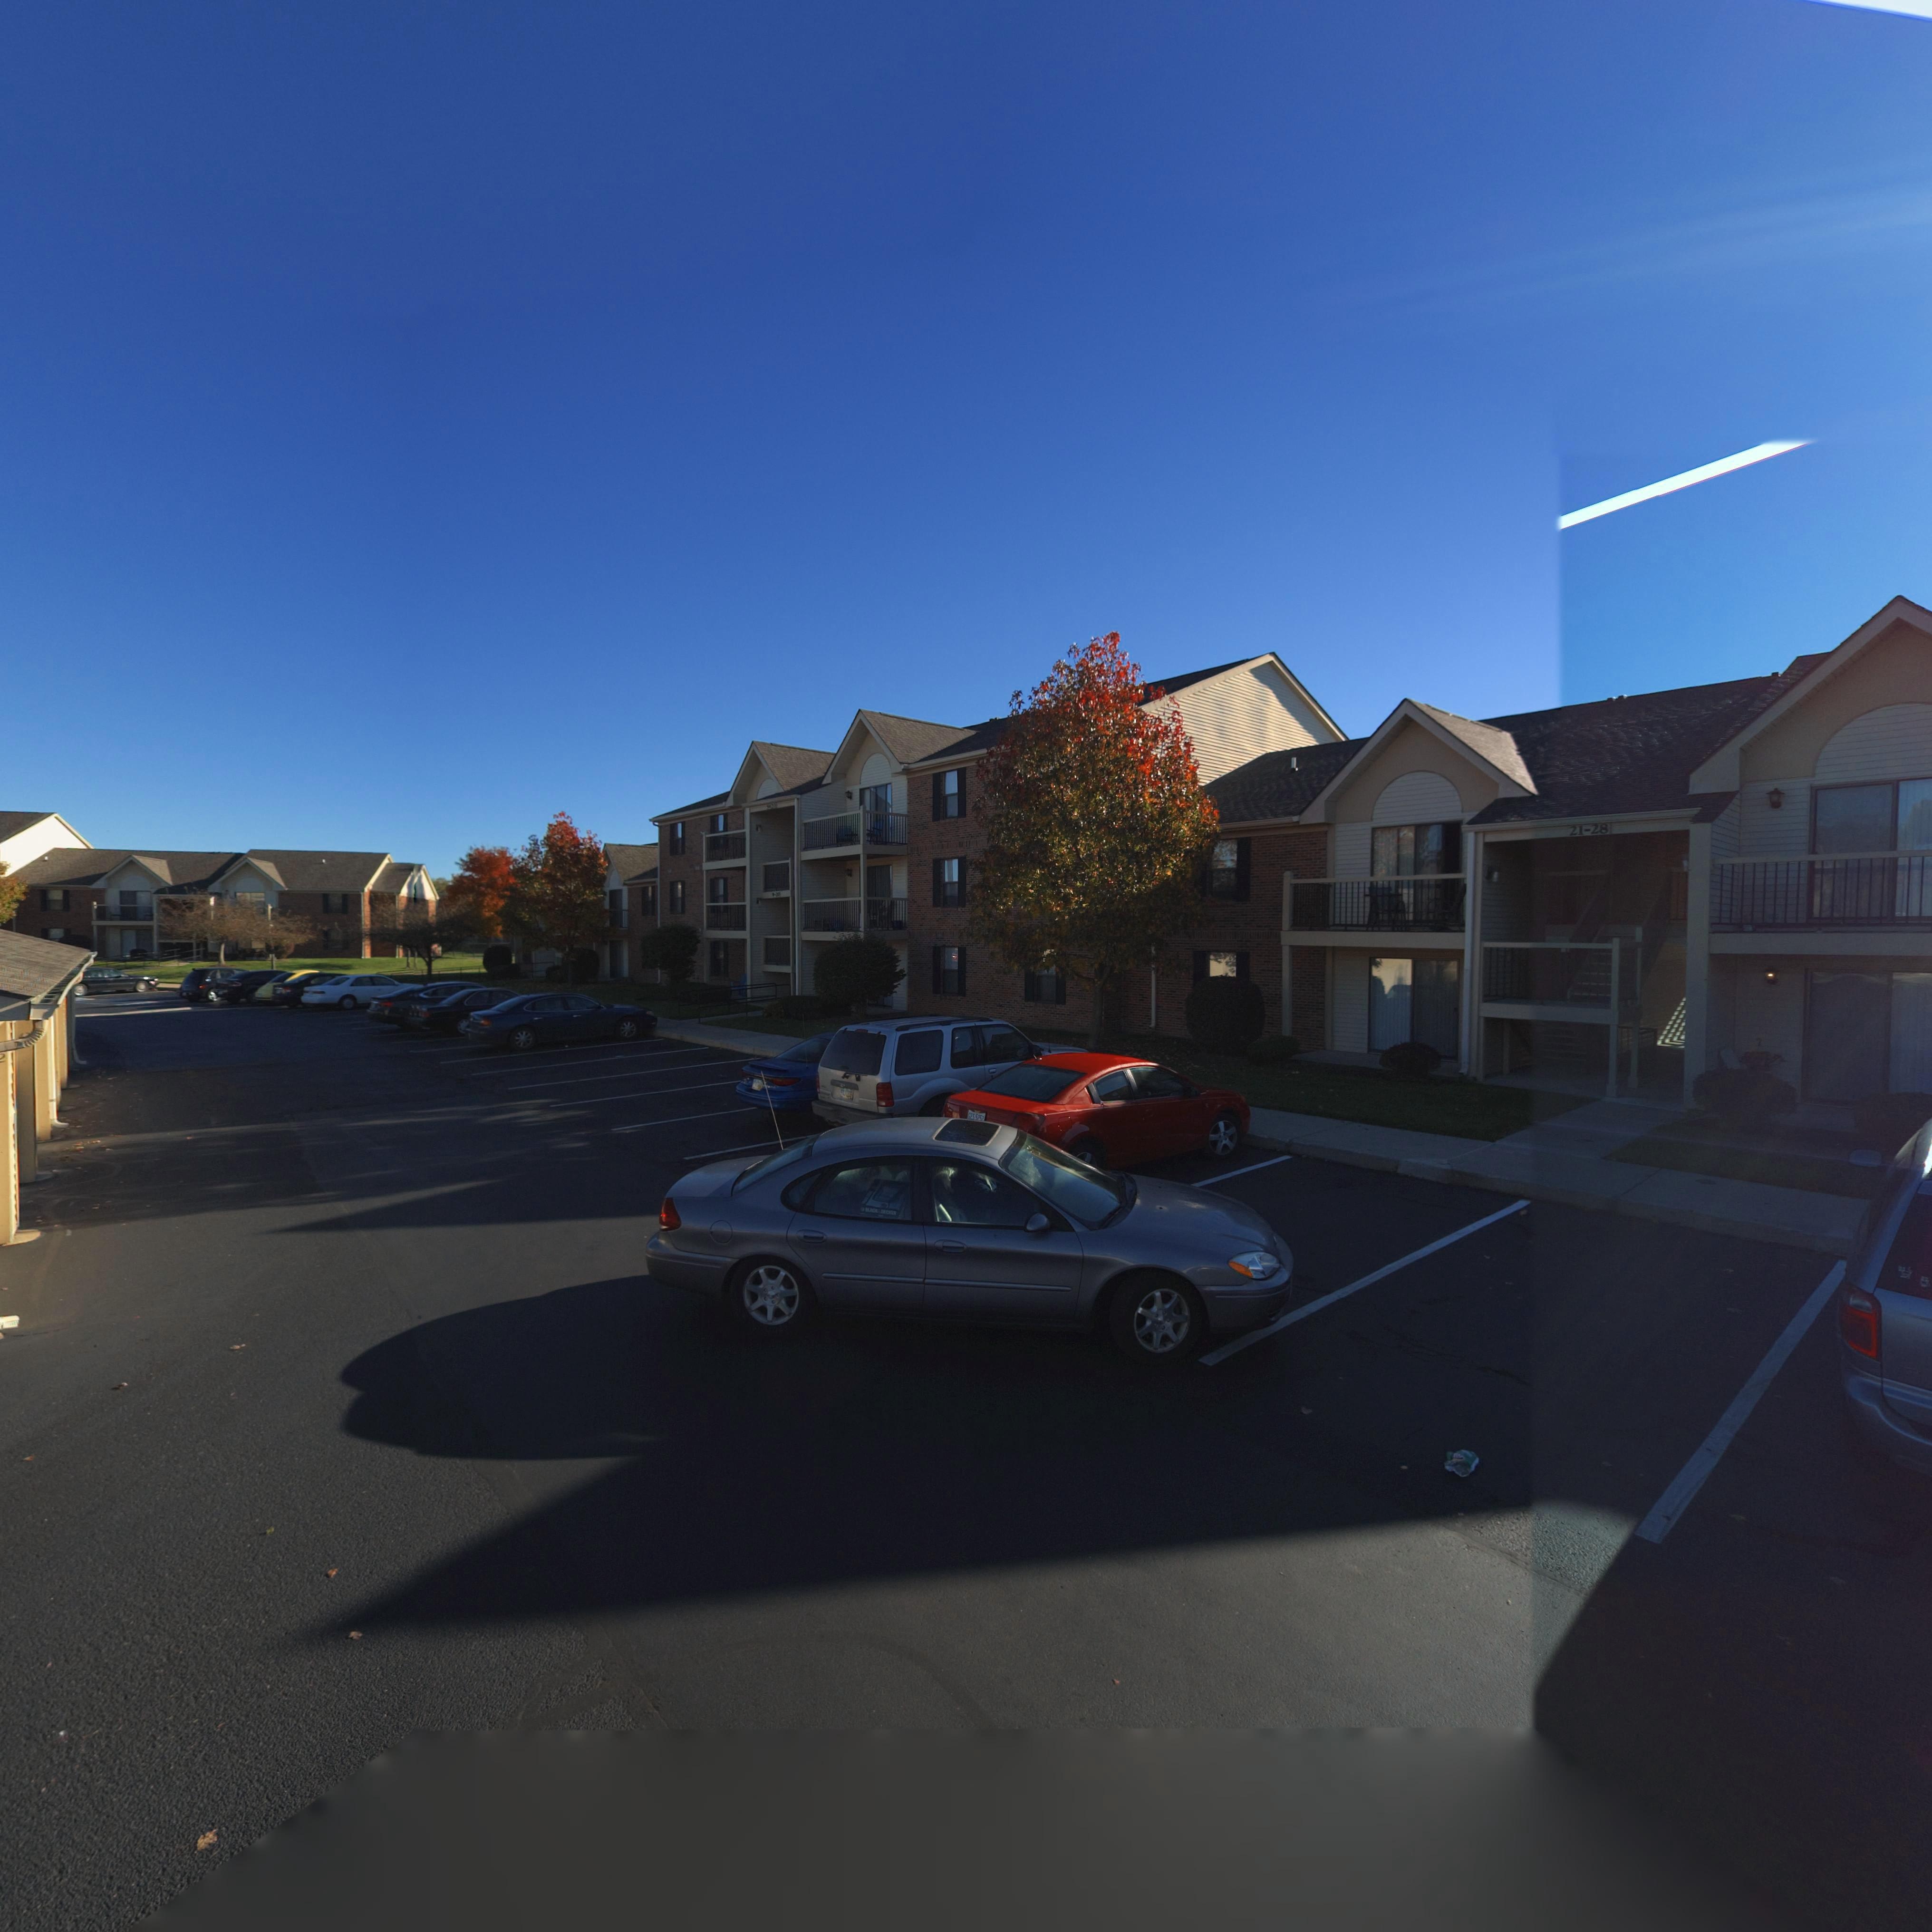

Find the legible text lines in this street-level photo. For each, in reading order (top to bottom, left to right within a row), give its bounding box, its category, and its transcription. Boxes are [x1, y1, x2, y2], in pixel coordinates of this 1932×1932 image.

[1569, 822, 1609, 836] StreetNumber: 21-28